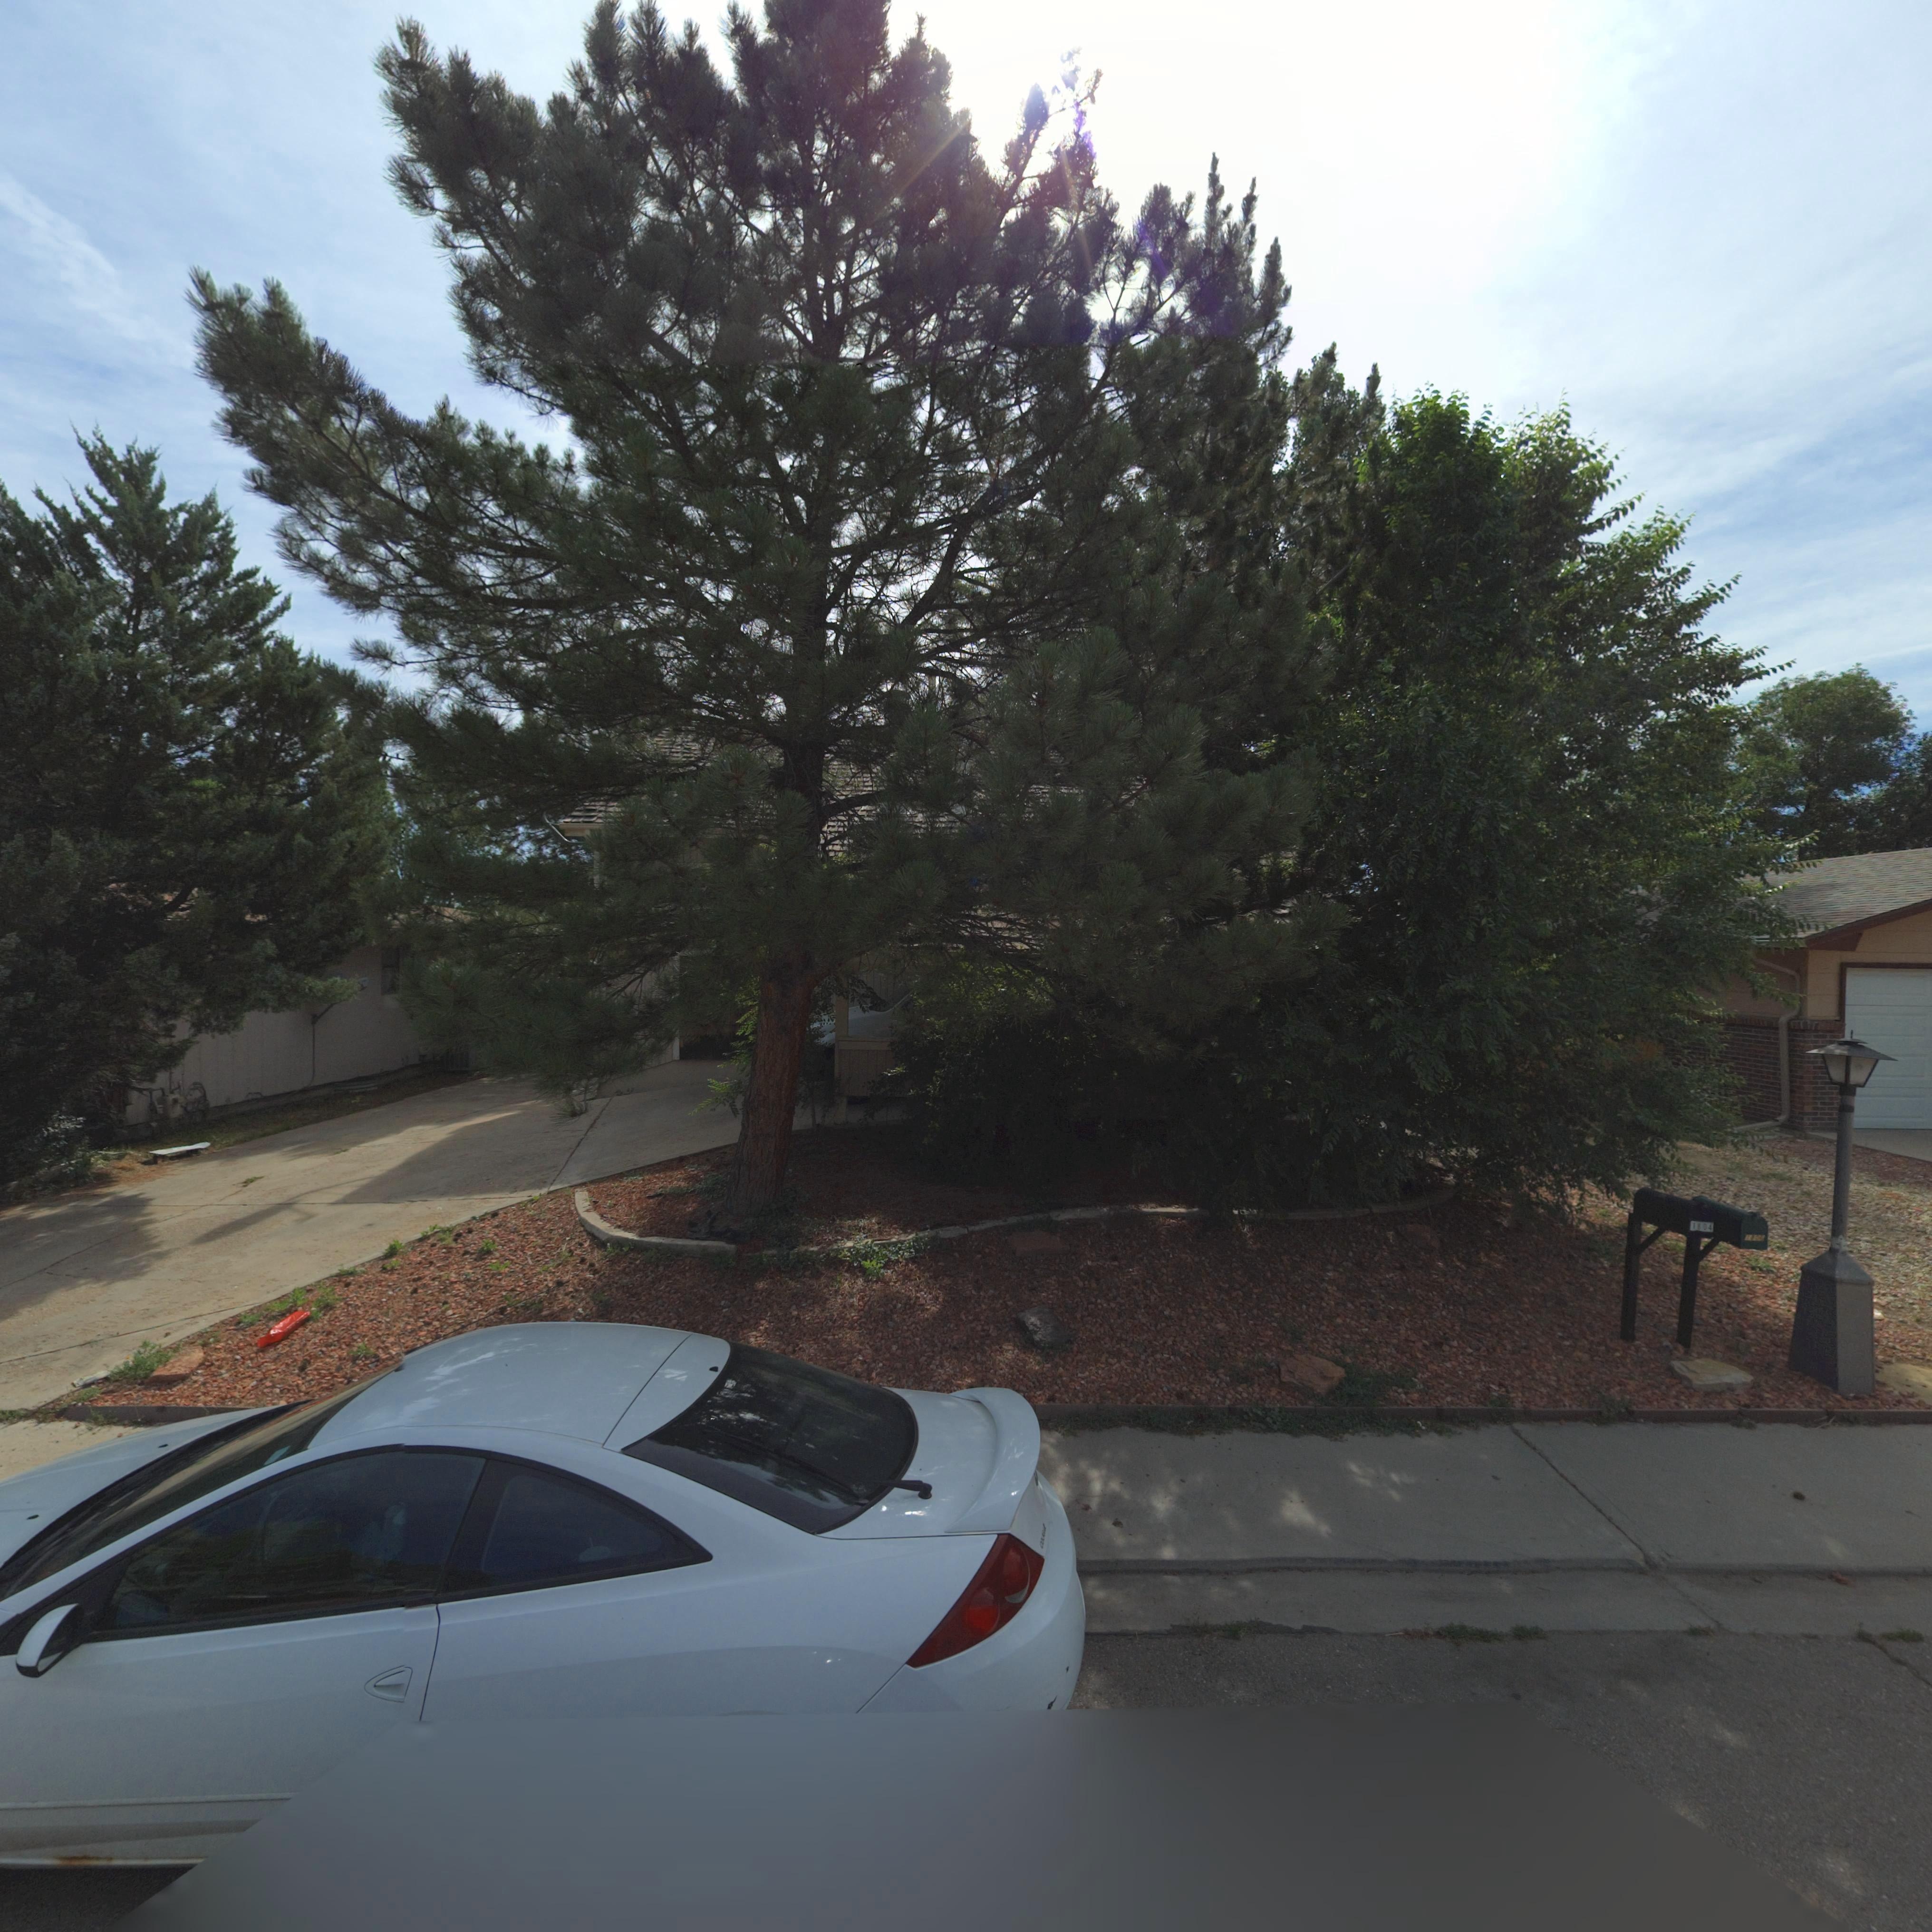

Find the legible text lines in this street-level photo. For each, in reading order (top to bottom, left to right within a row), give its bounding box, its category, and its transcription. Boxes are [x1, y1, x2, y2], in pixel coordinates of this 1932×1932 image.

[1692, 1222, 1712, 1231] StreetNumber: 1804
[1745, 1234, 1764, 1241] StreetNumber: 1*06